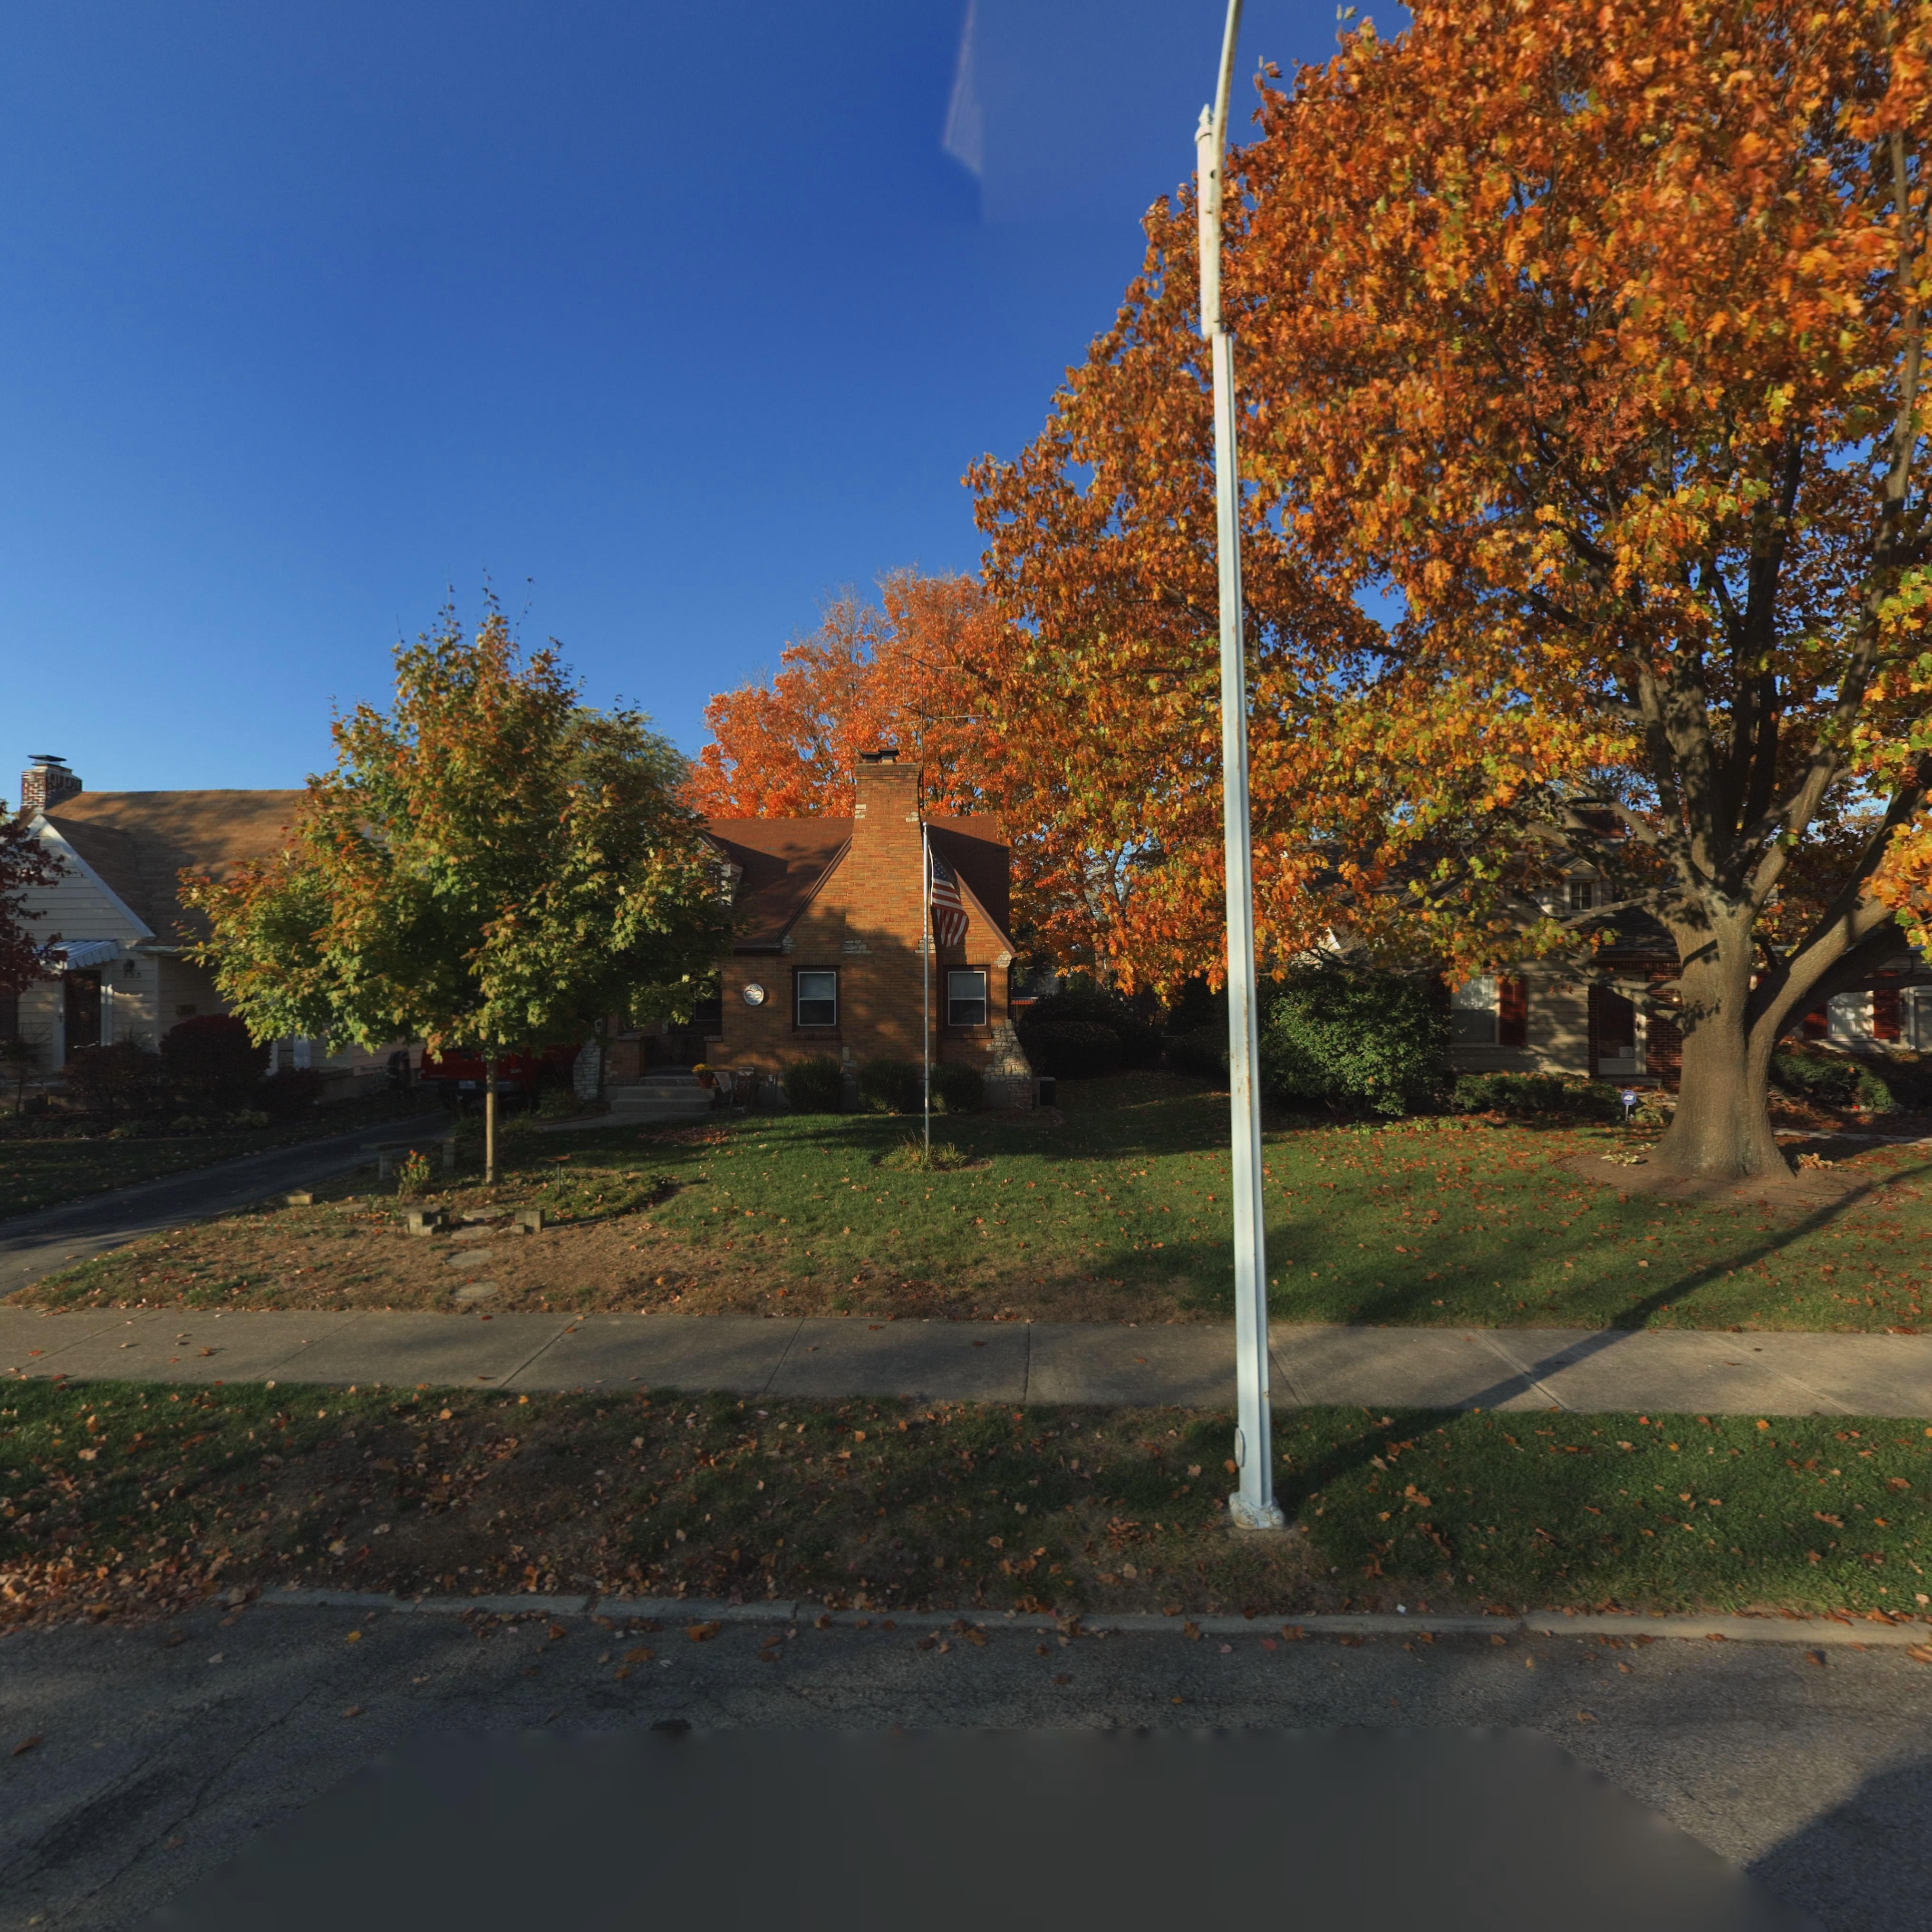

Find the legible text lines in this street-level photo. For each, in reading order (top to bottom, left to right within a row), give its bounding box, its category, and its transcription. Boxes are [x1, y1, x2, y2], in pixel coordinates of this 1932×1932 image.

[122, 971, 142, 979] StreetNumber: 333